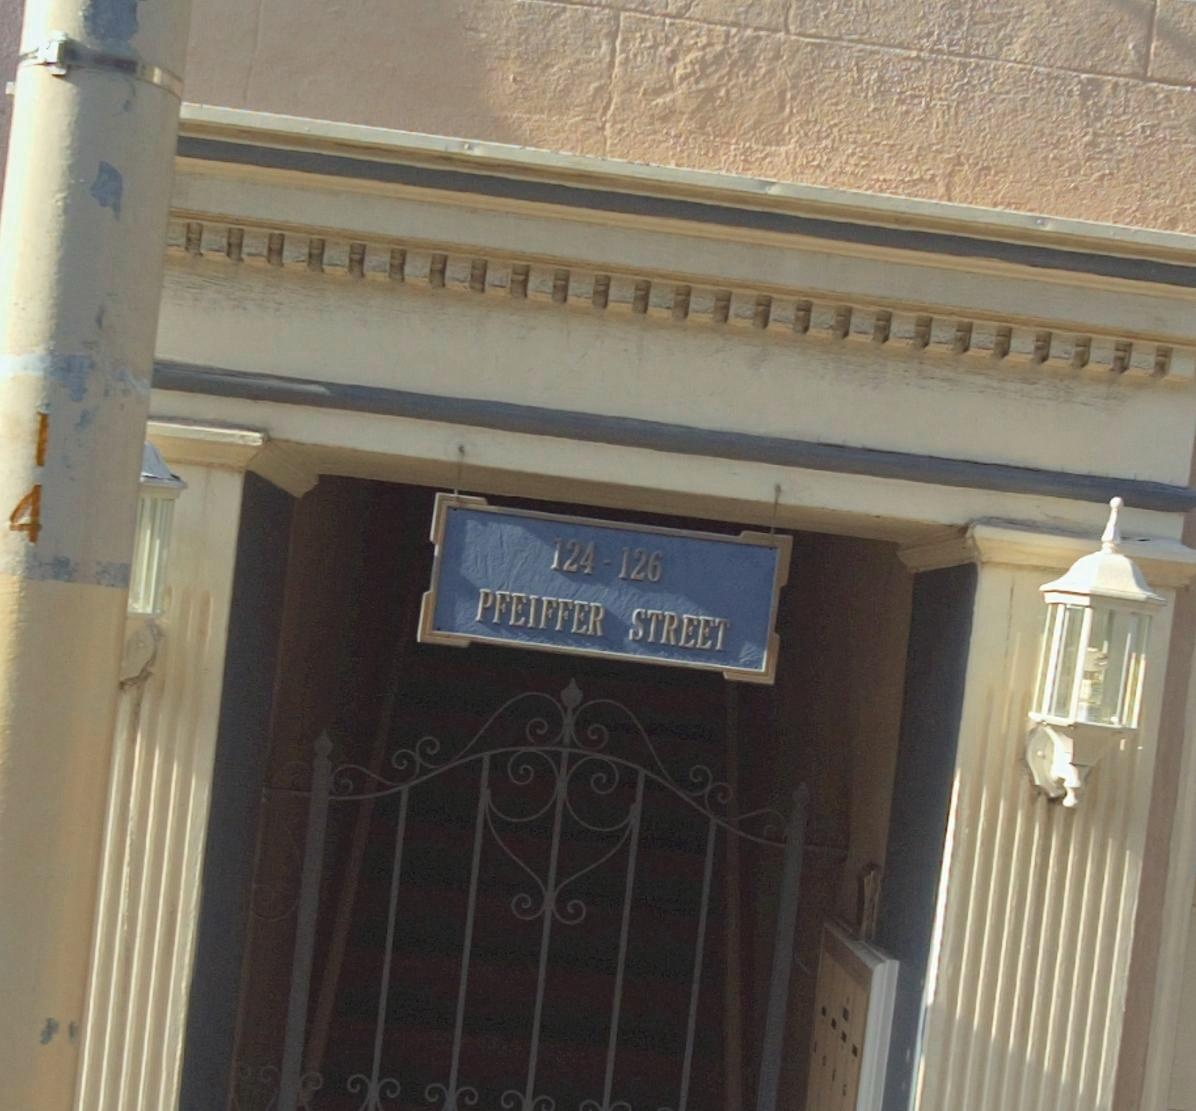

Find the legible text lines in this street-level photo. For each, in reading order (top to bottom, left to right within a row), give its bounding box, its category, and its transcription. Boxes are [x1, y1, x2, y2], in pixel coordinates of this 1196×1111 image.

[547, 532, 666, 586] StreetNumber: 124-126
[472, 585, 735, 655] StreetName: PFEIFFER STREET